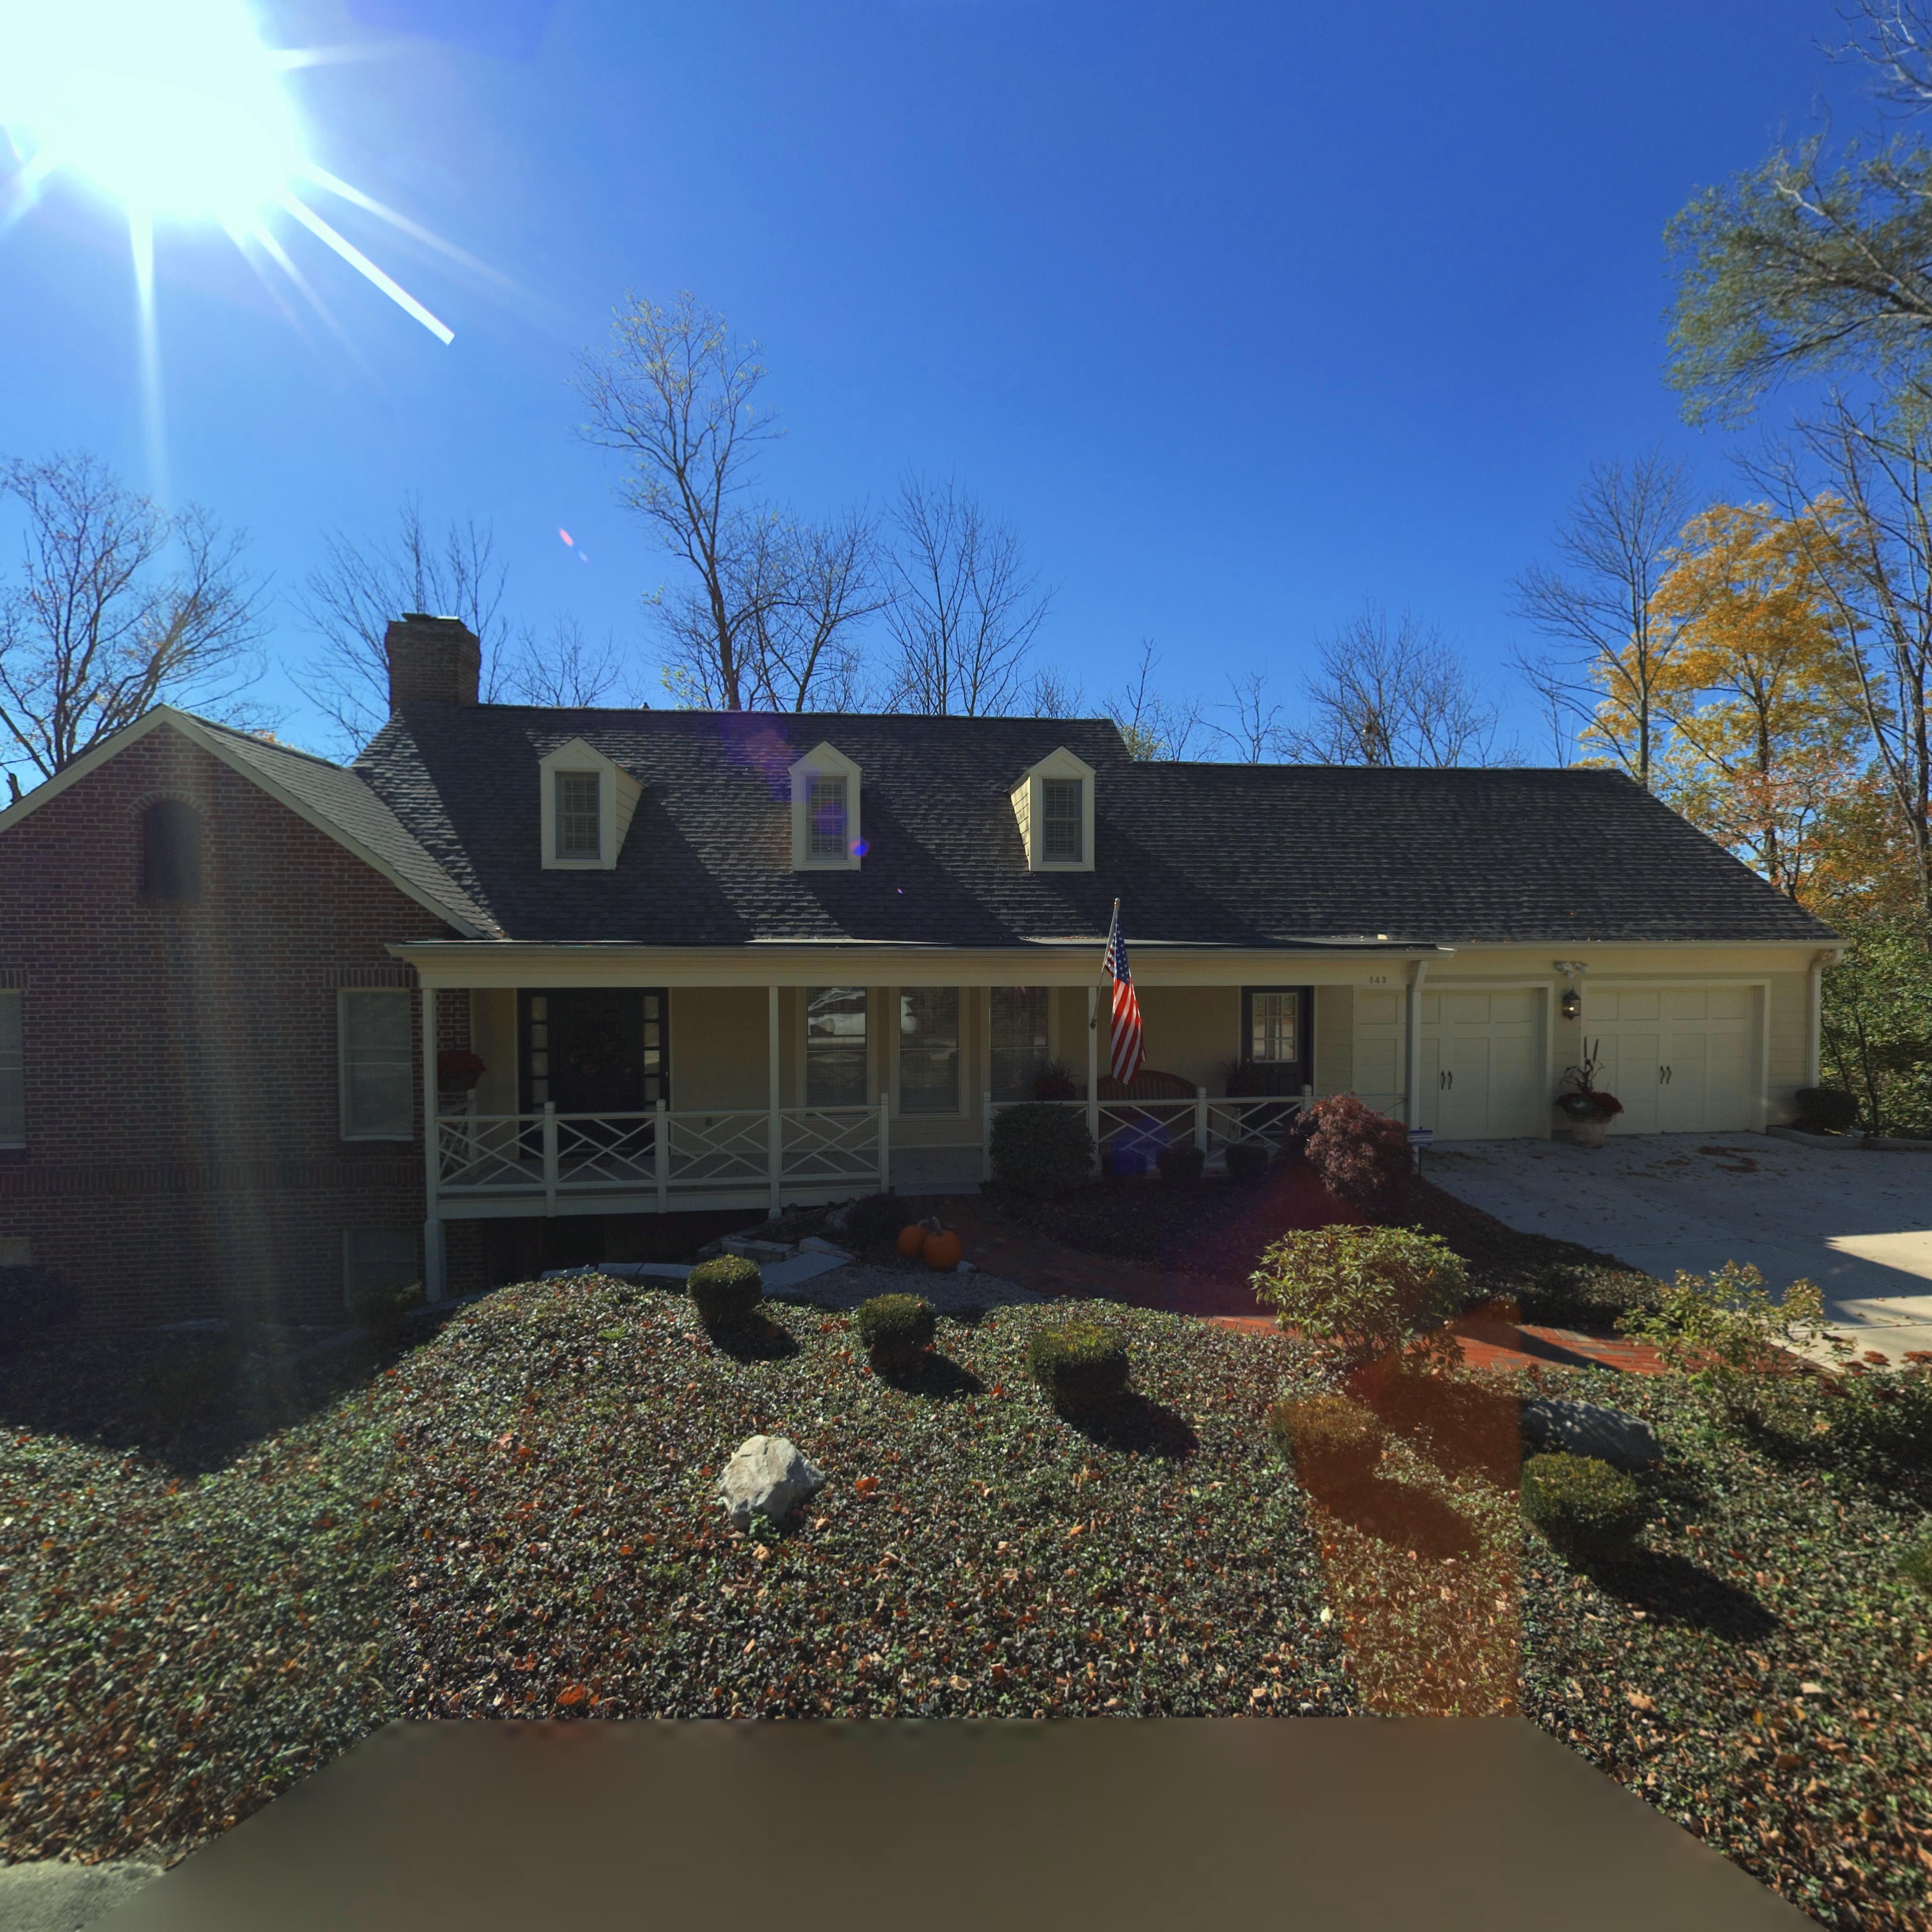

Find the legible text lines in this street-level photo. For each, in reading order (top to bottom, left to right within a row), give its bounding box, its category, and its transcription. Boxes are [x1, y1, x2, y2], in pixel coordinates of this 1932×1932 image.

[1369, 976, 1387, 984] StreetNumber: 843